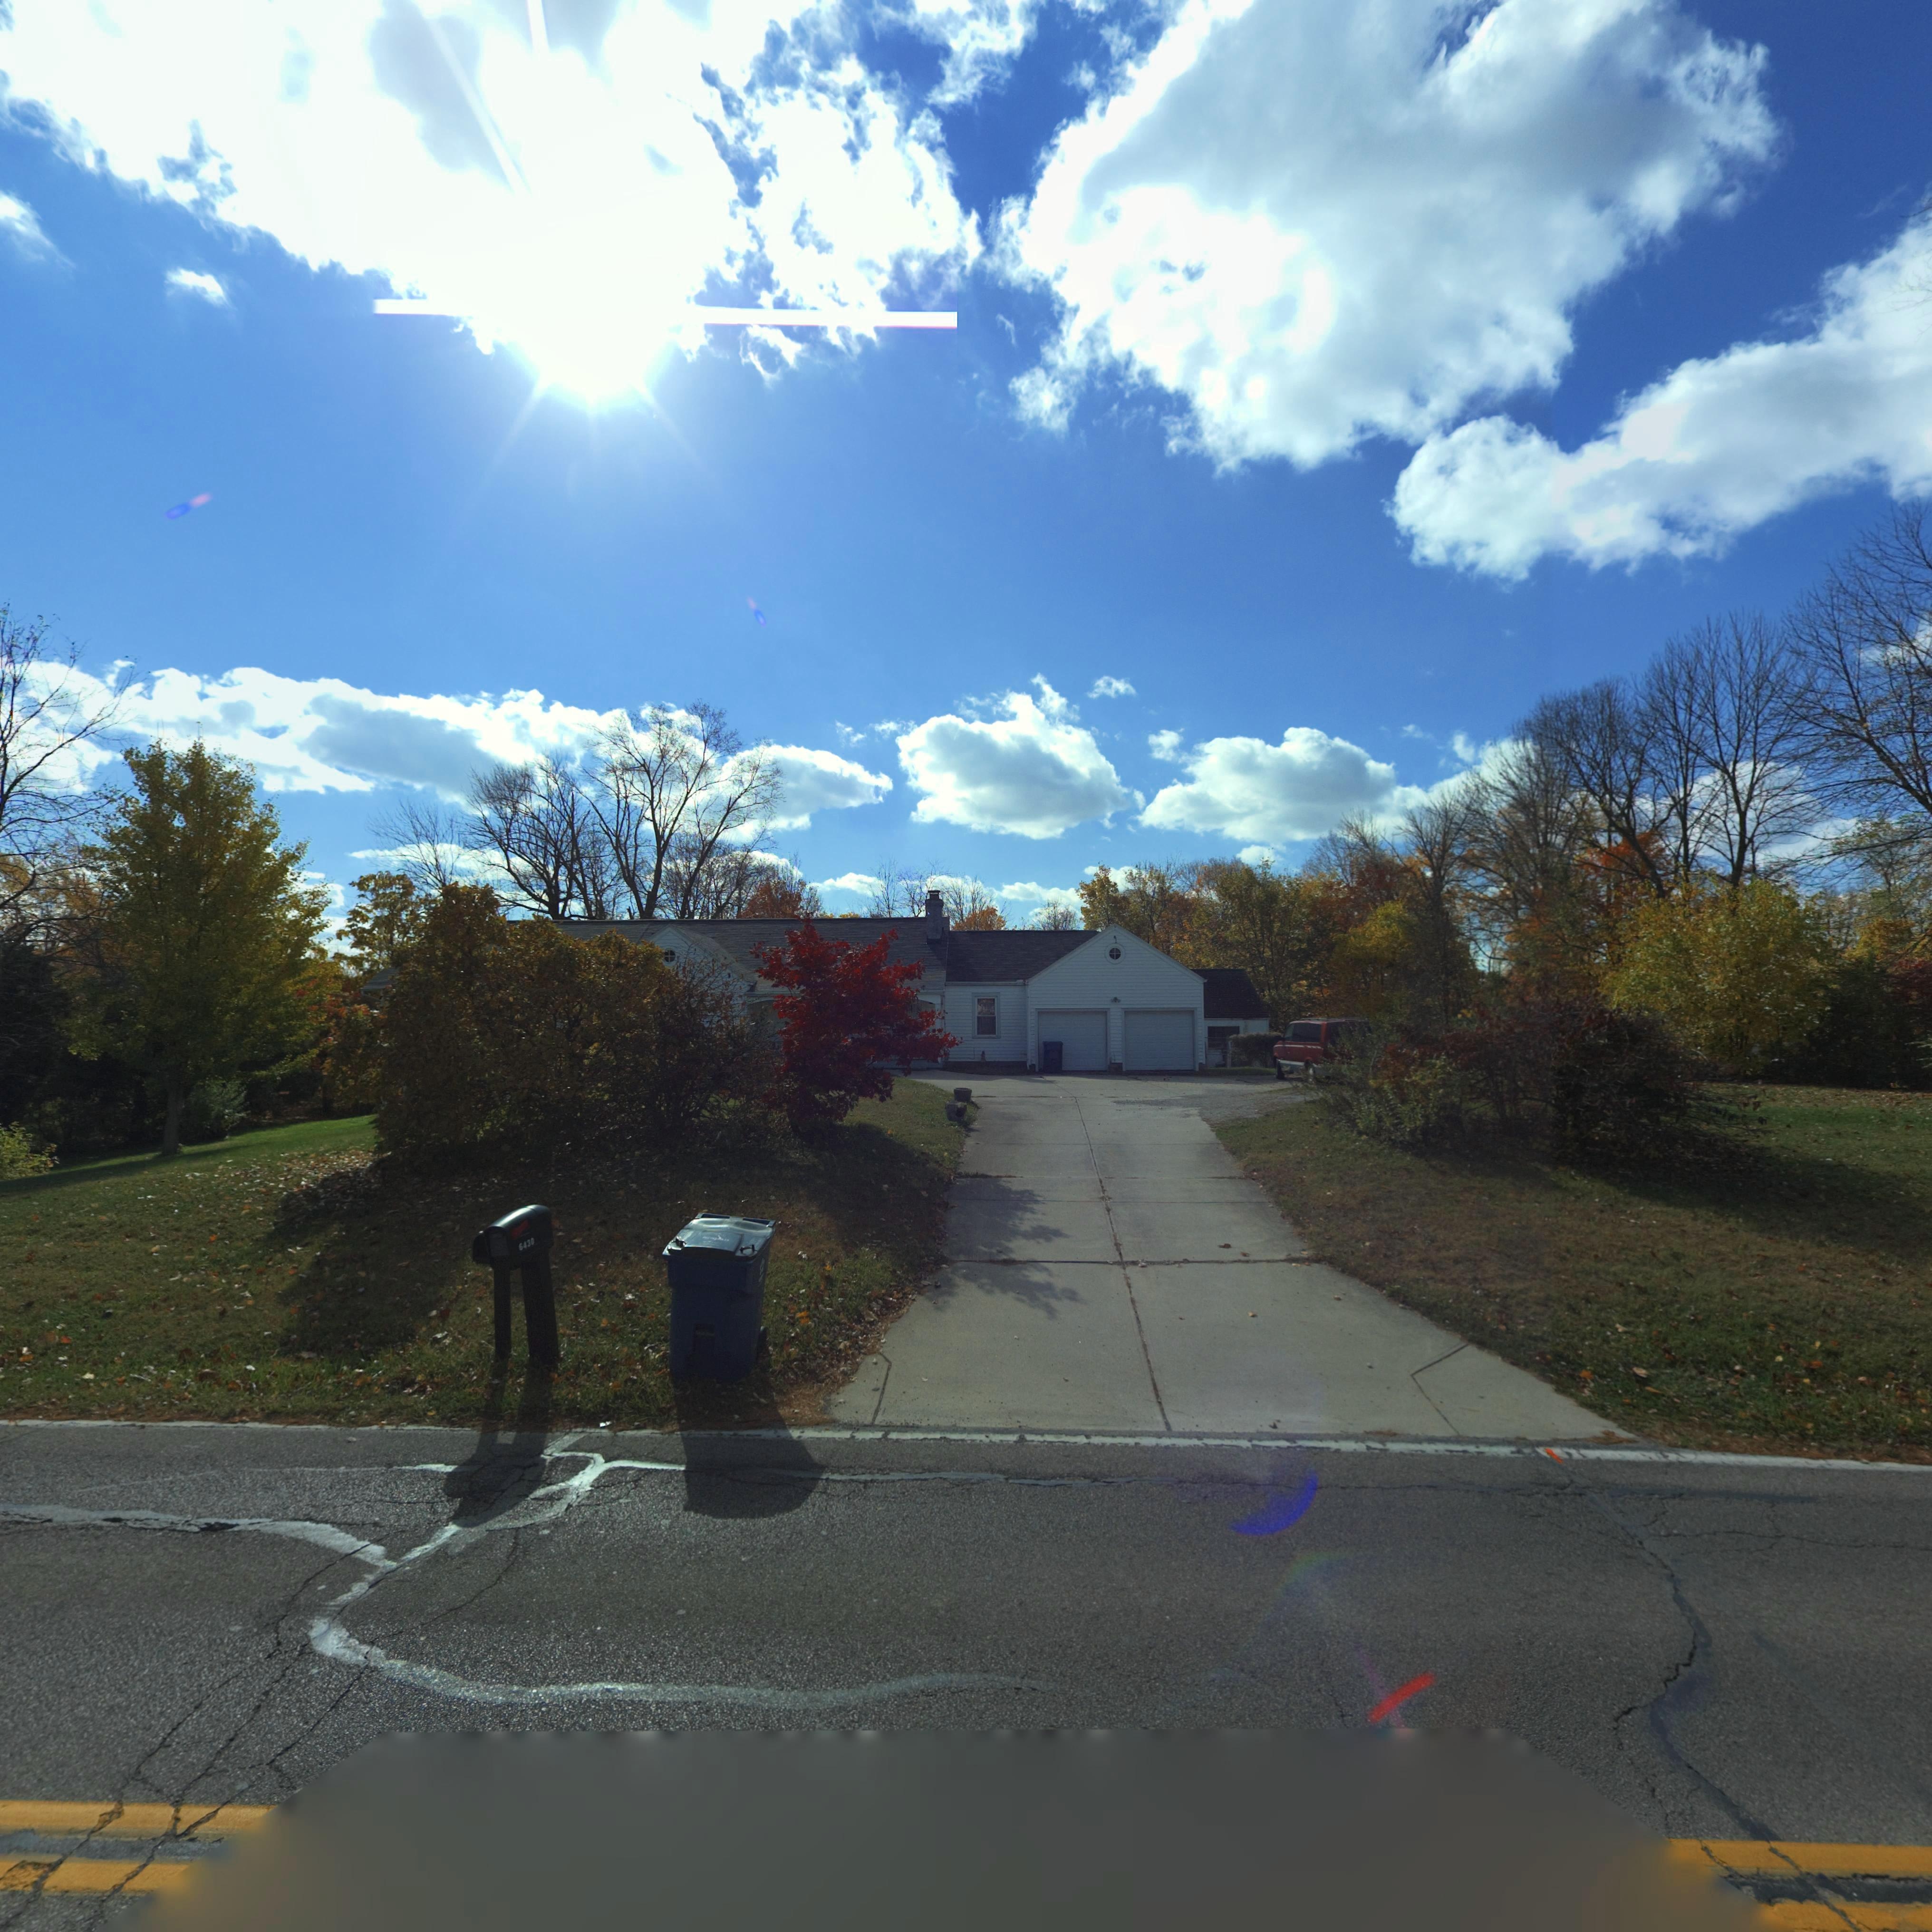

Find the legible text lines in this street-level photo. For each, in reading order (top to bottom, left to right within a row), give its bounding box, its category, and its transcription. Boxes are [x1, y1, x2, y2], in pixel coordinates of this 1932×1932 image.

[518, 1237, 535, 1252] StreetNumber: 6430